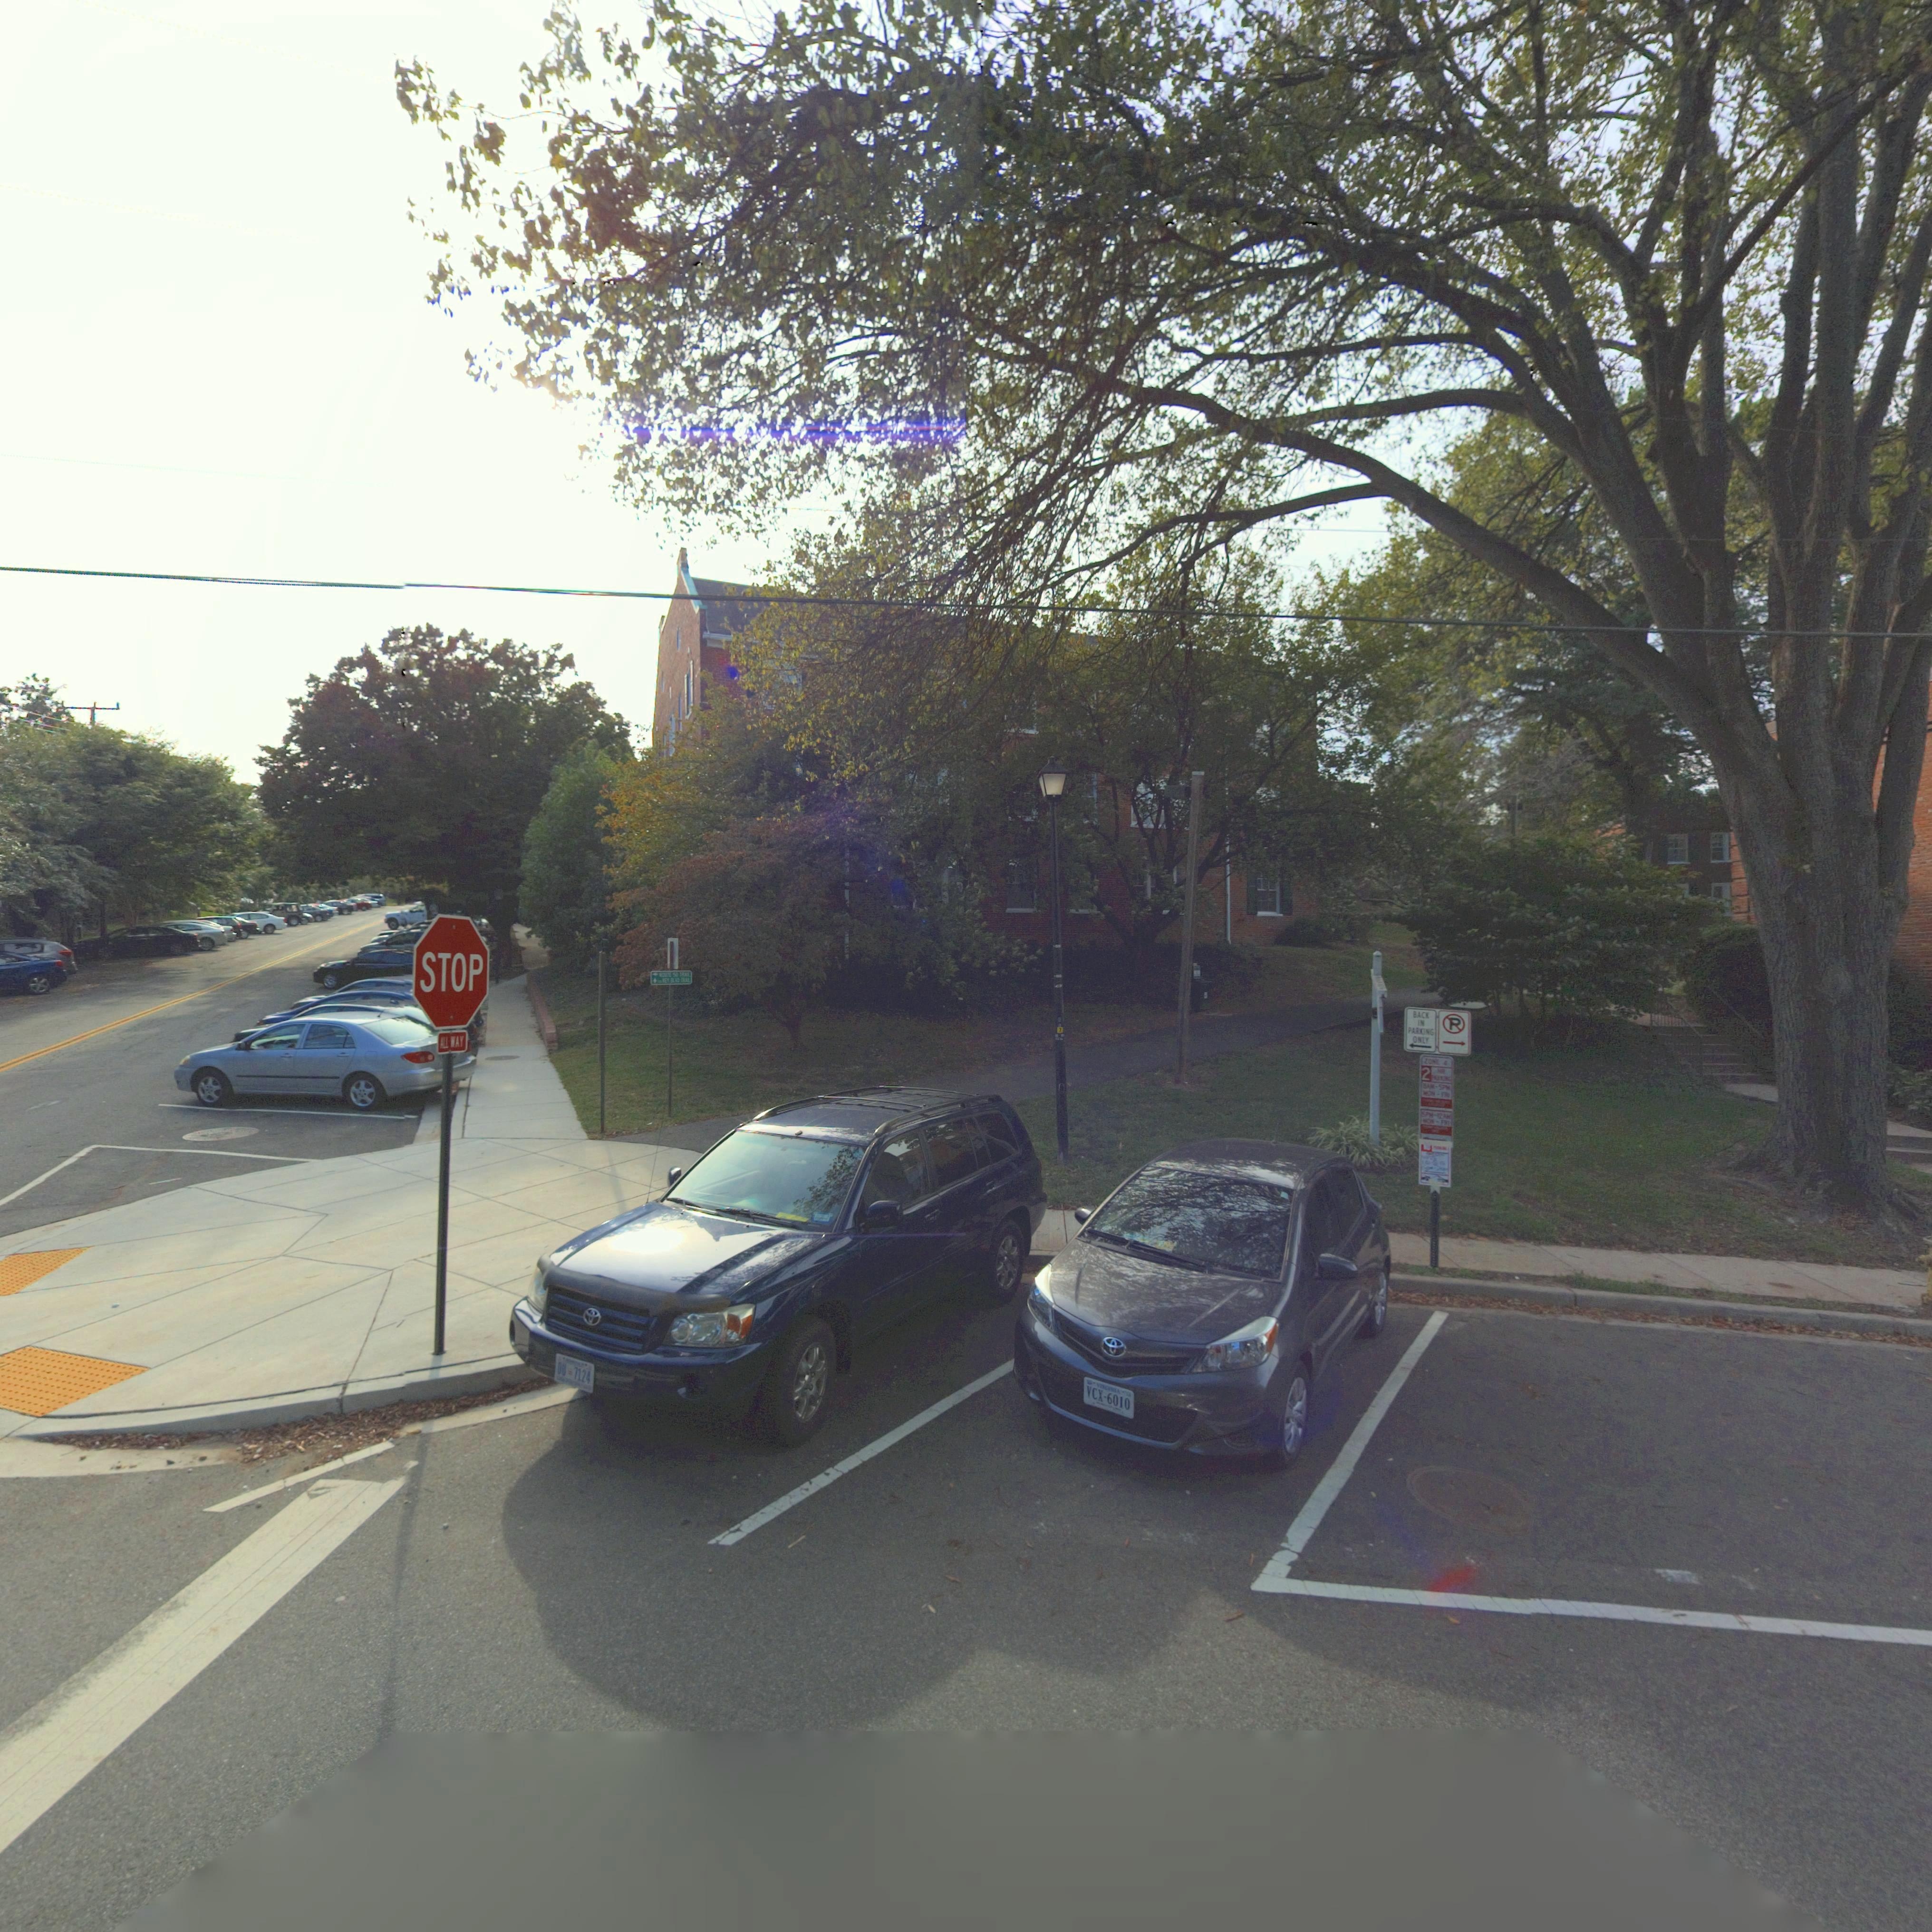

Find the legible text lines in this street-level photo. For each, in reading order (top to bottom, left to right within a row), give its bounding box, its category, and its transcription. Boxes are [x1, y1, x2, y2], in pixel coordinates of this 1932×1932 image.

[415, 947, 488, 995] None: STOP
[1412, 1009, 1430, 1021] None: BACK
[1416, 1018, 1426, 1027] None: IN
[1058, 1027, 1063, 1034] None: 7
[1407, 1025, 1435, 1037] None: PARKING
[442, 1033, 465, 1050] None: WAY
[1411, 1034, 1431, 1045] None: ONLY
[1423, 1057, 1449, 1068] None: ZO** 4
[1420, 1065, 1432, 1082] None: 2
[1421, 1082, 1451, 1092] None: 3AM-5PM
[1427, 1090, 1445, 1098] None: O*-F
[1420, 1111, 1449, 1120] None: 5PM-12A
[1425, 1118, 1445, 1127] None: O*-F
[573, 1365, 591, 1386] None: 7124
[1086, 1383, 1132, 1411] None: VCX-6010